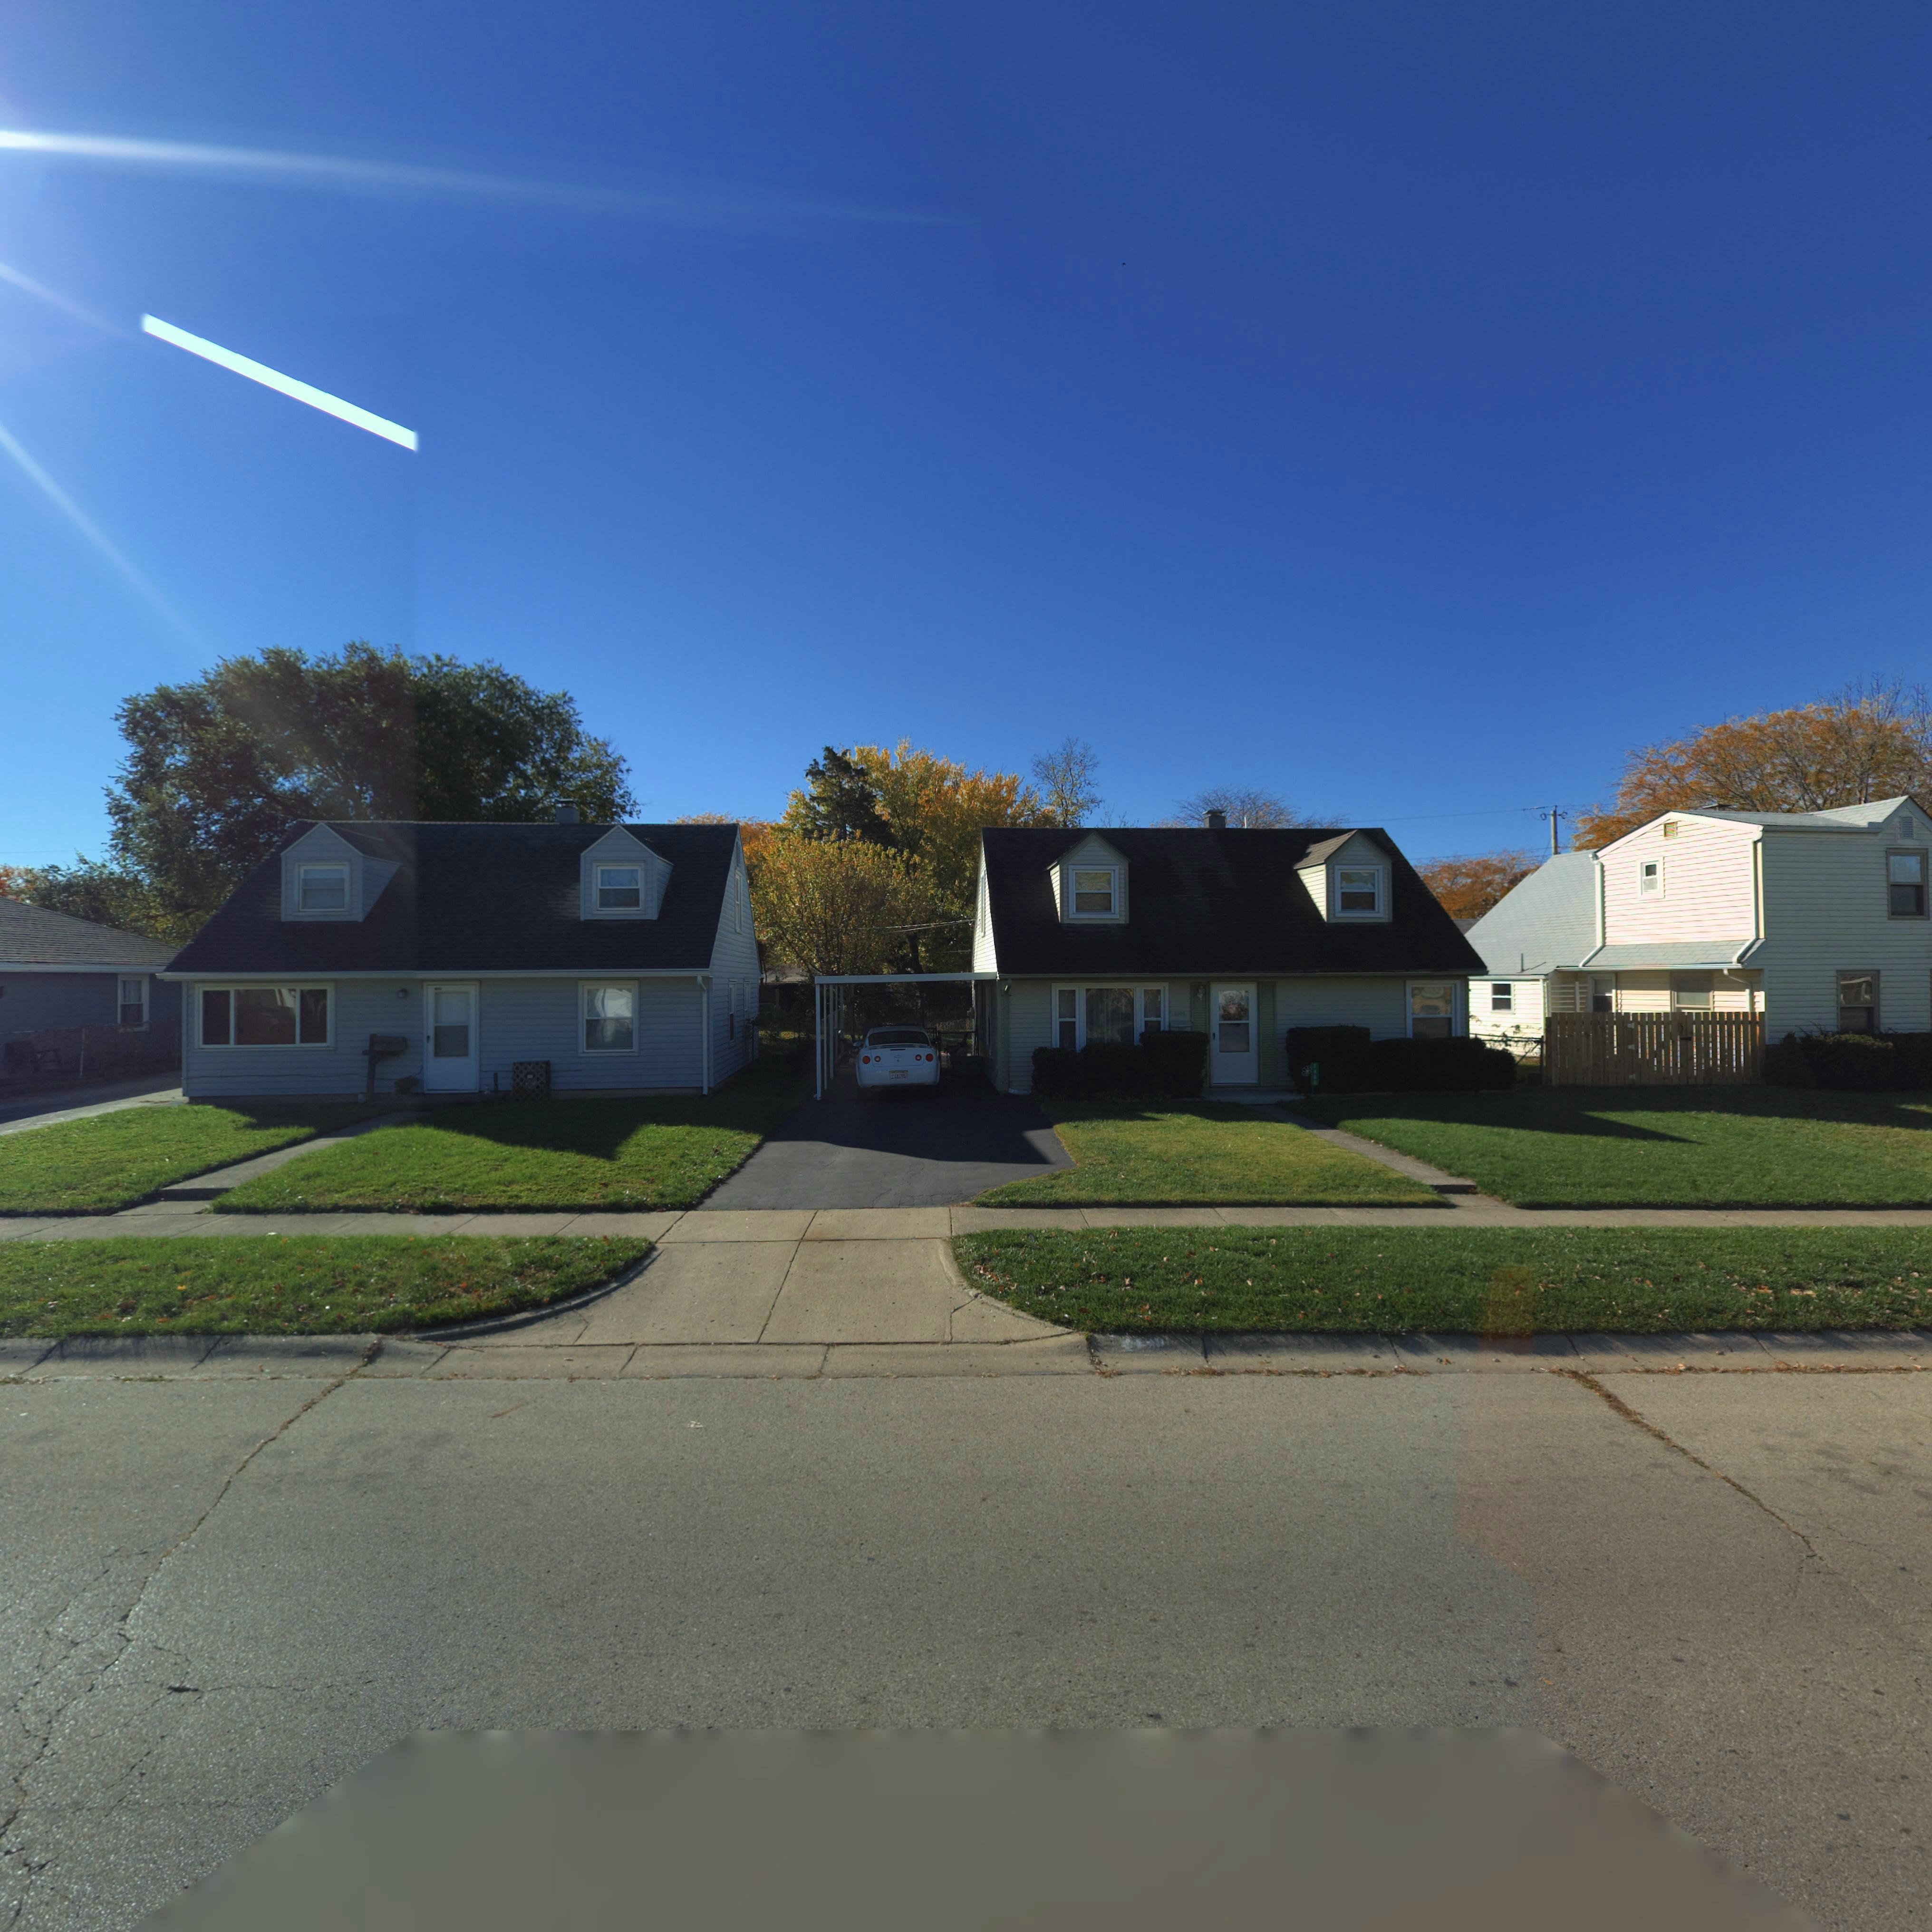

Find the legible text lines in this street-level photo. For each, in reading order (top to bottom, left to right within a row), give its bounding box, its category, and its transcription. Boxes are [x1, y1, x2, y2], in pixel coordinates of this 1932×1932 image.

[1173, 1011, 1186, 1016] StreetNumber: 24*0
[1313, 1063, 1317, 1085] StreetNumber: 2460